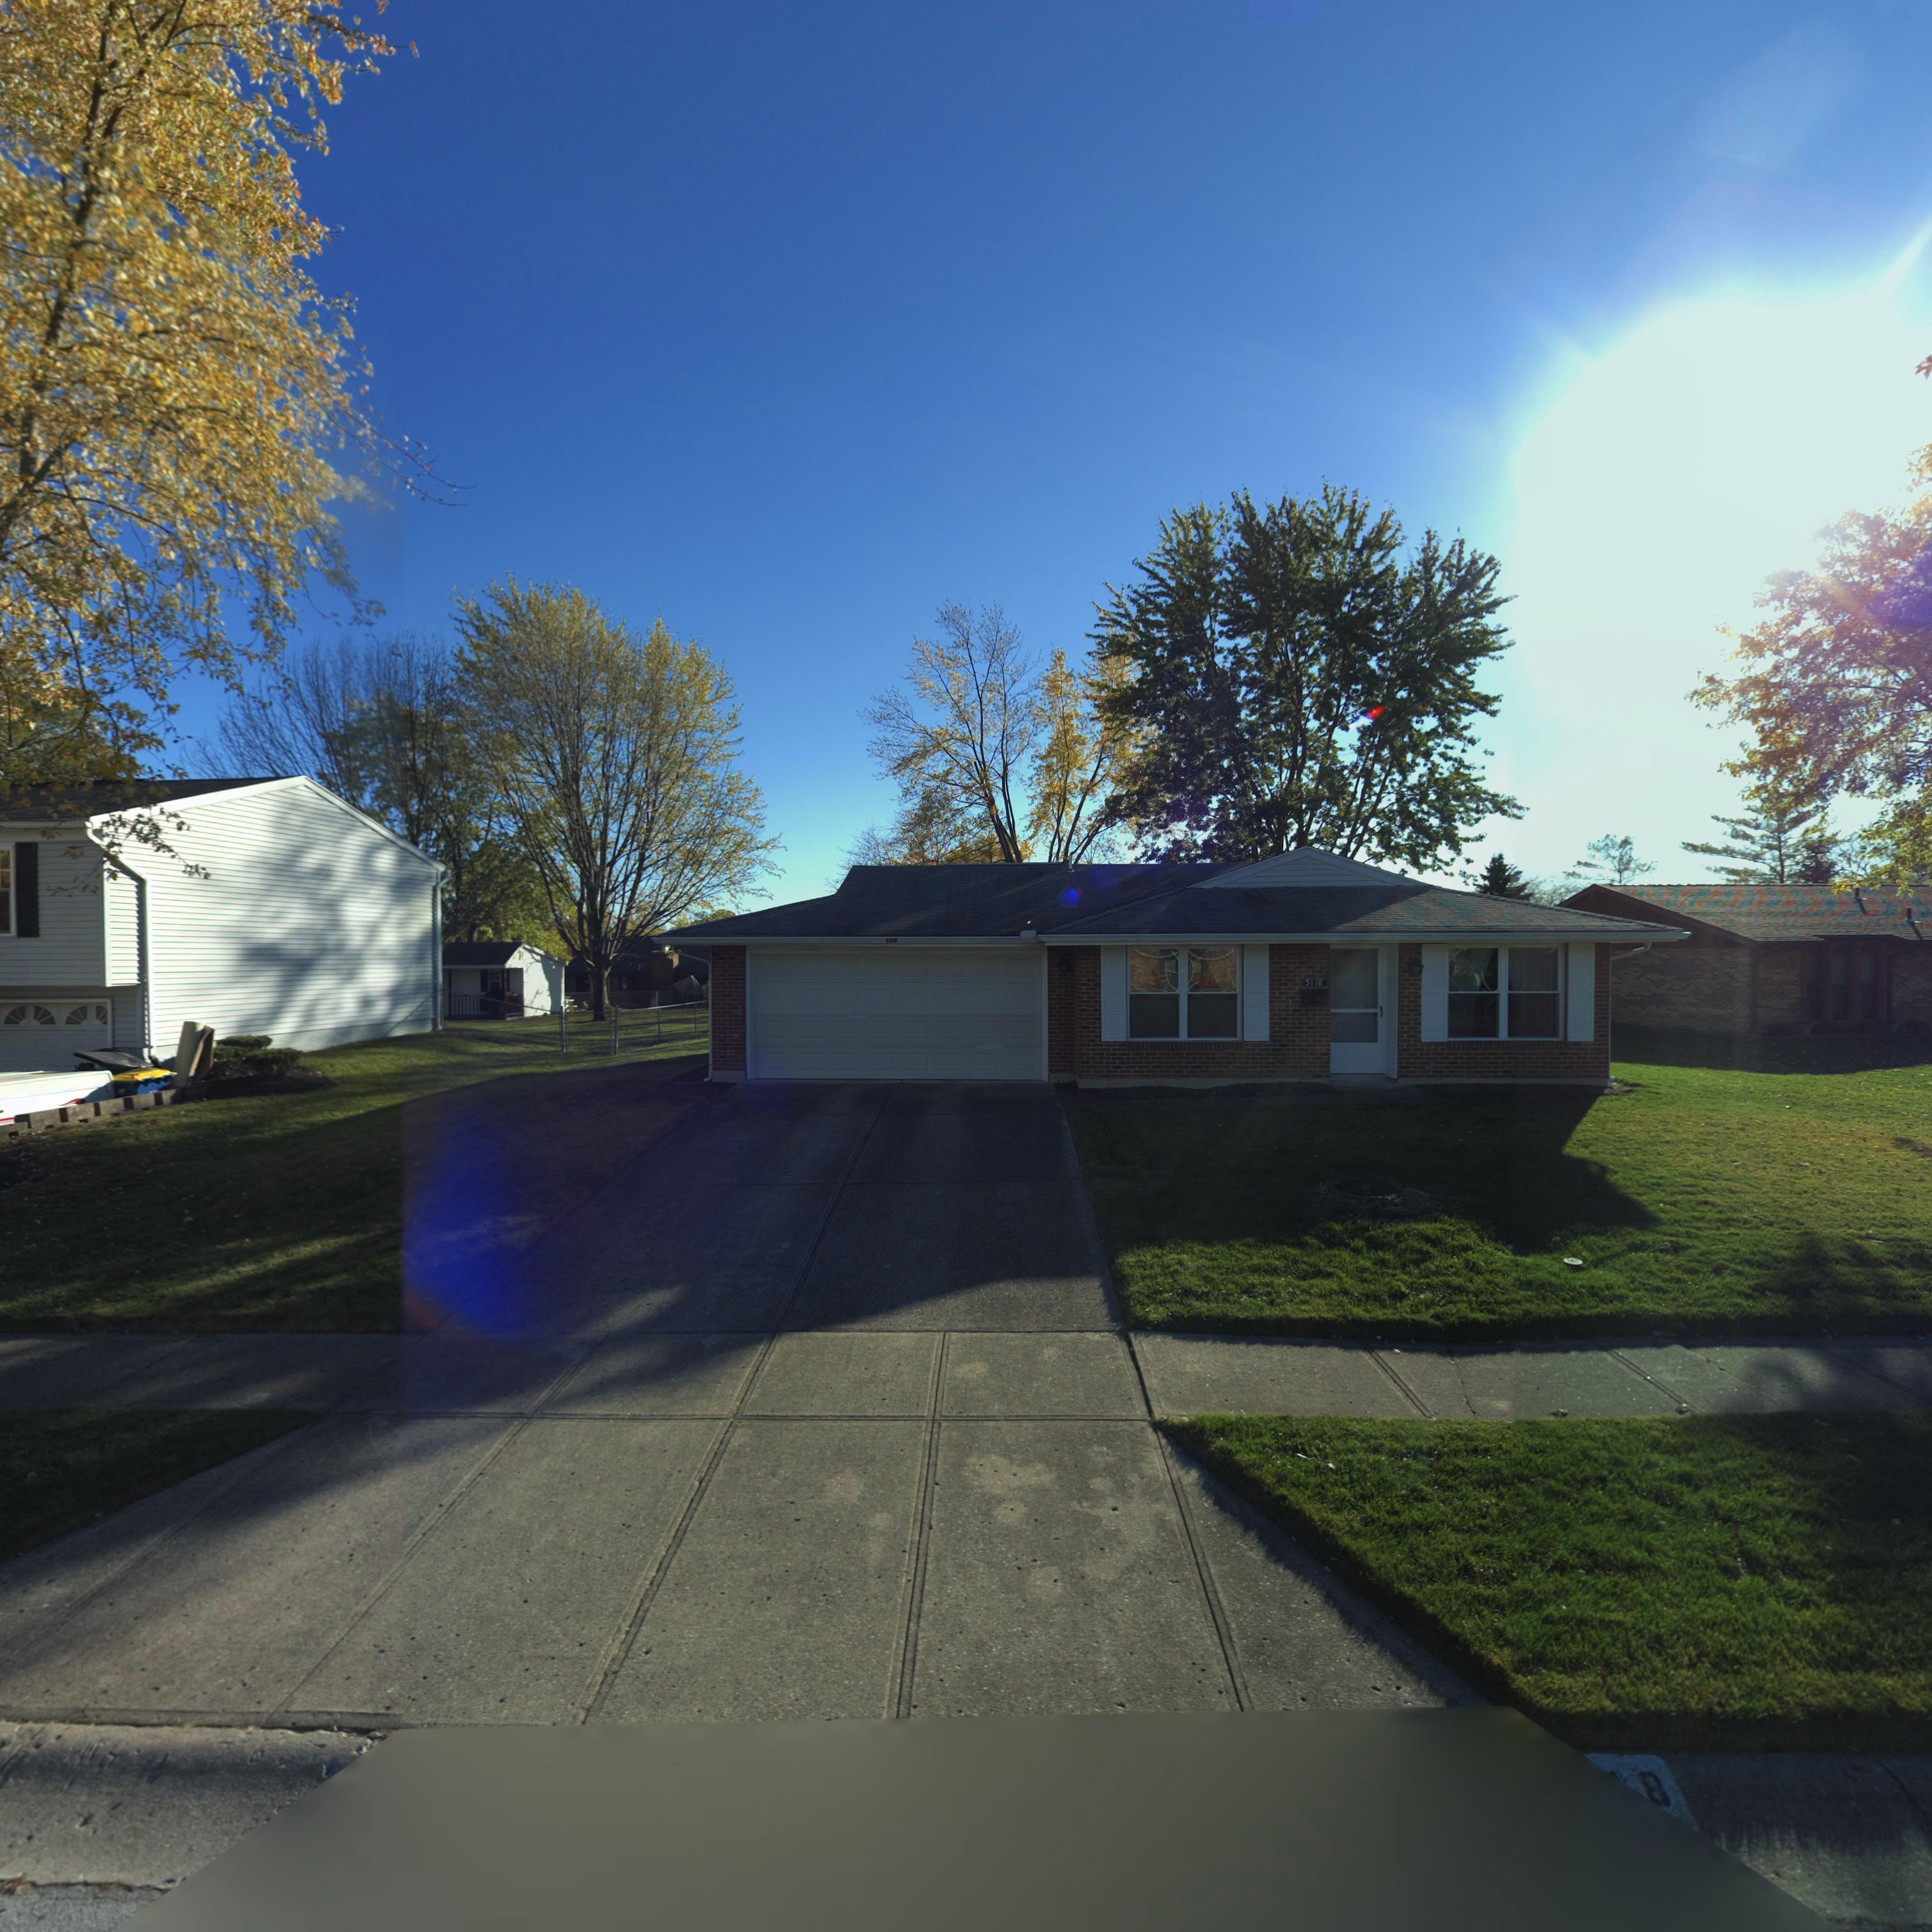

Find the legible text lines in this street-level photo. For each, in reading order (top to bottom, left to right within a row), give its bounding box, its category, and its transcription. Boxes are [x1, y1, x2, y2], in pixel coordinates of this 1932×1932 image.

[885, 938, 898, 943] StreetNumber: 5118
[1304, 978, 1323, 986] StreetNumber: 5118
[1636, 1768, 1673, 1807] StreetNumber: 8